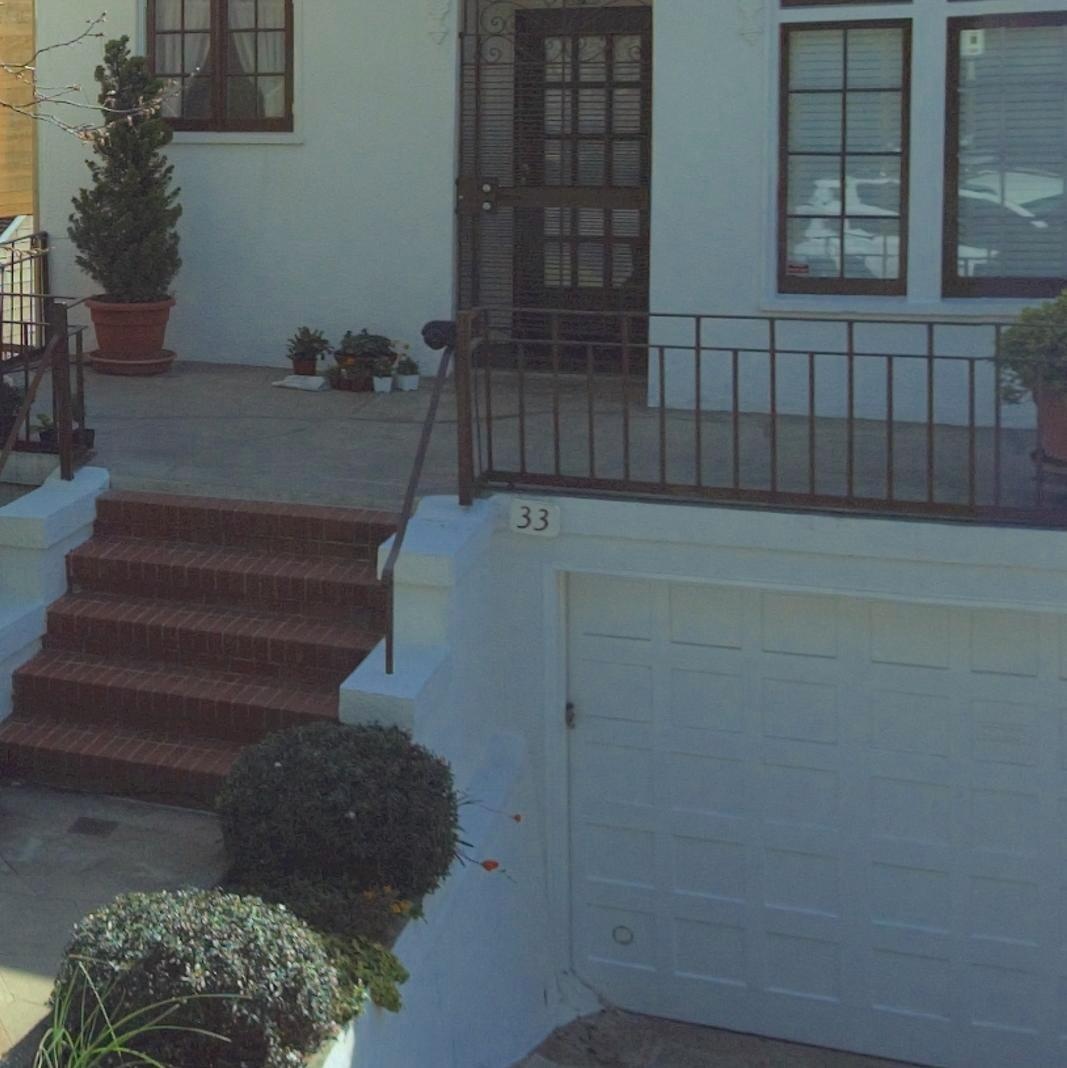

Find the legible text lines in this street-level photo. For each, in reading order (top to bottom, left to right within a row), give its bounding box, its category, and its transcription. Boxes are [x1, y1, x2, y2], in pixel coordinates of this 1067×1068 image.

[515, 505, 551, 535] StreetNumber: 33